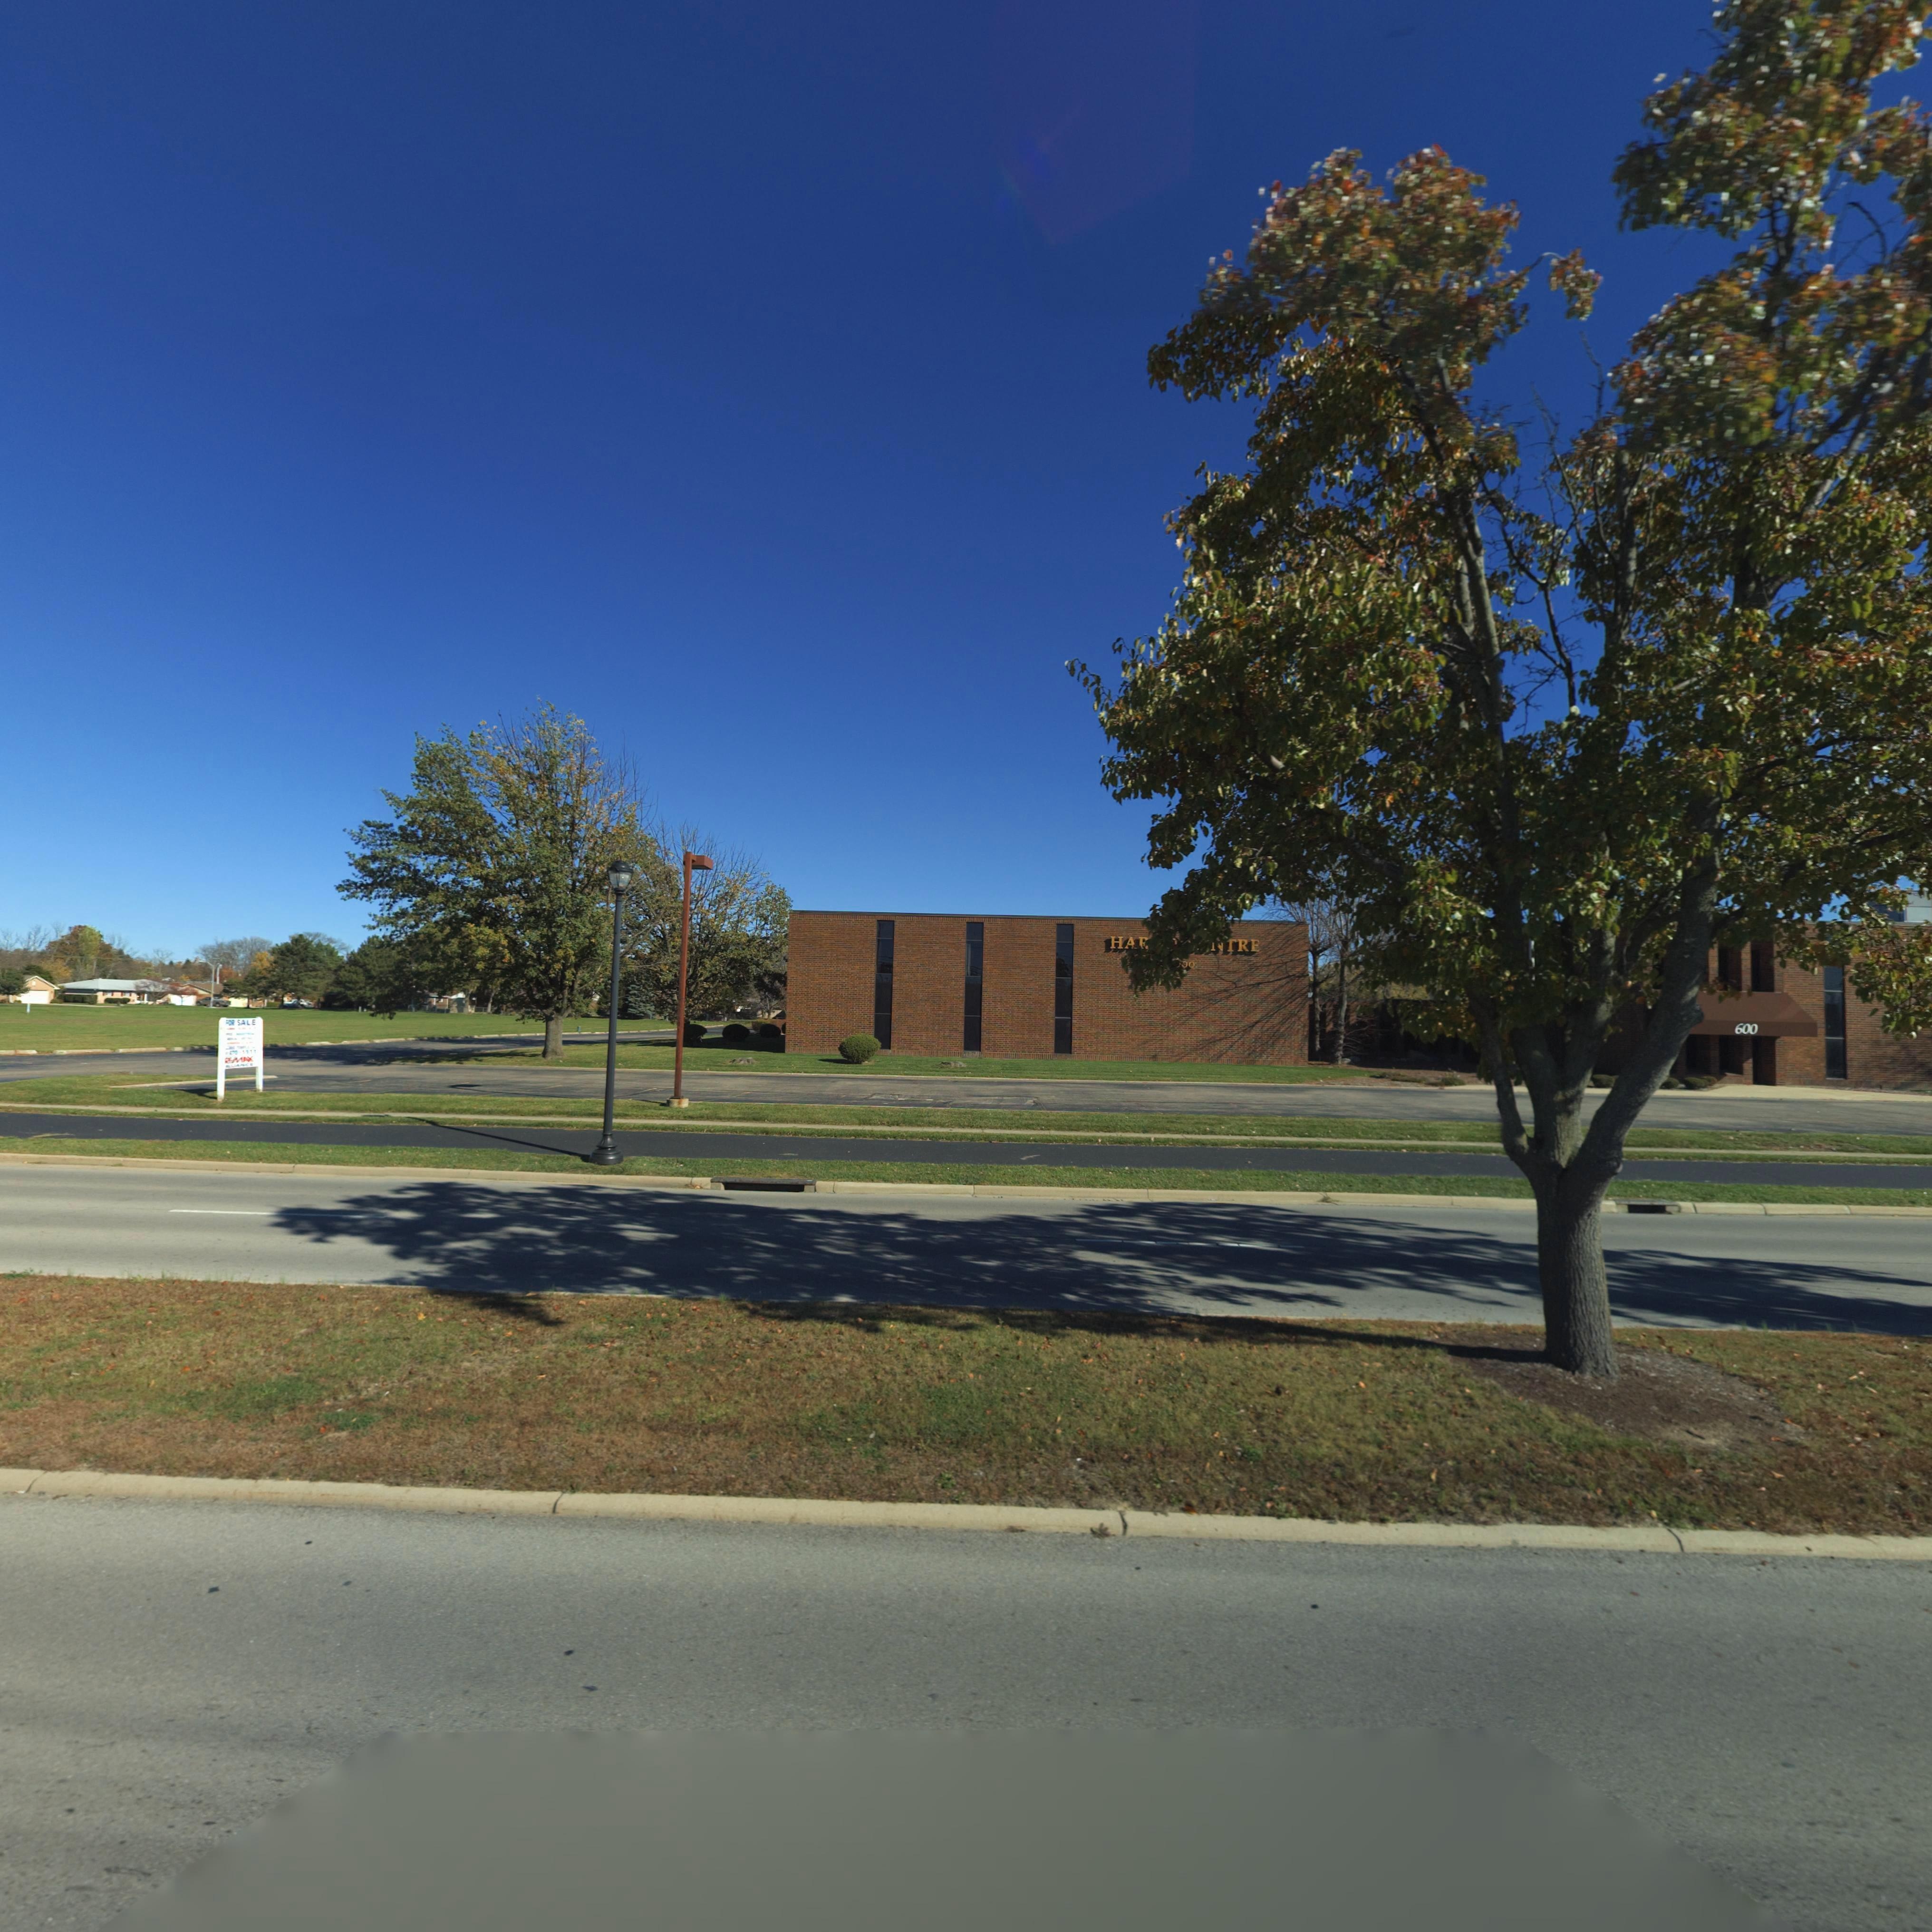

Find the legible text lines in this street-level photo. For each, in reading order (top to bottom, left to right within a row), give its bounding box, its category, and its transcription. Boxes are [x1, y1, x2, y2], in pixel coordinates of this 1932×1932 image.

[1109, 935, 1139, 950] BusinessName: HA
[1236, 938, 1260, 953] BusinessName: RE
[1180, 960, 1196, 969] StreetNumber: *0
[1734, 1022, 1759, 1035] StreetNumber: 600